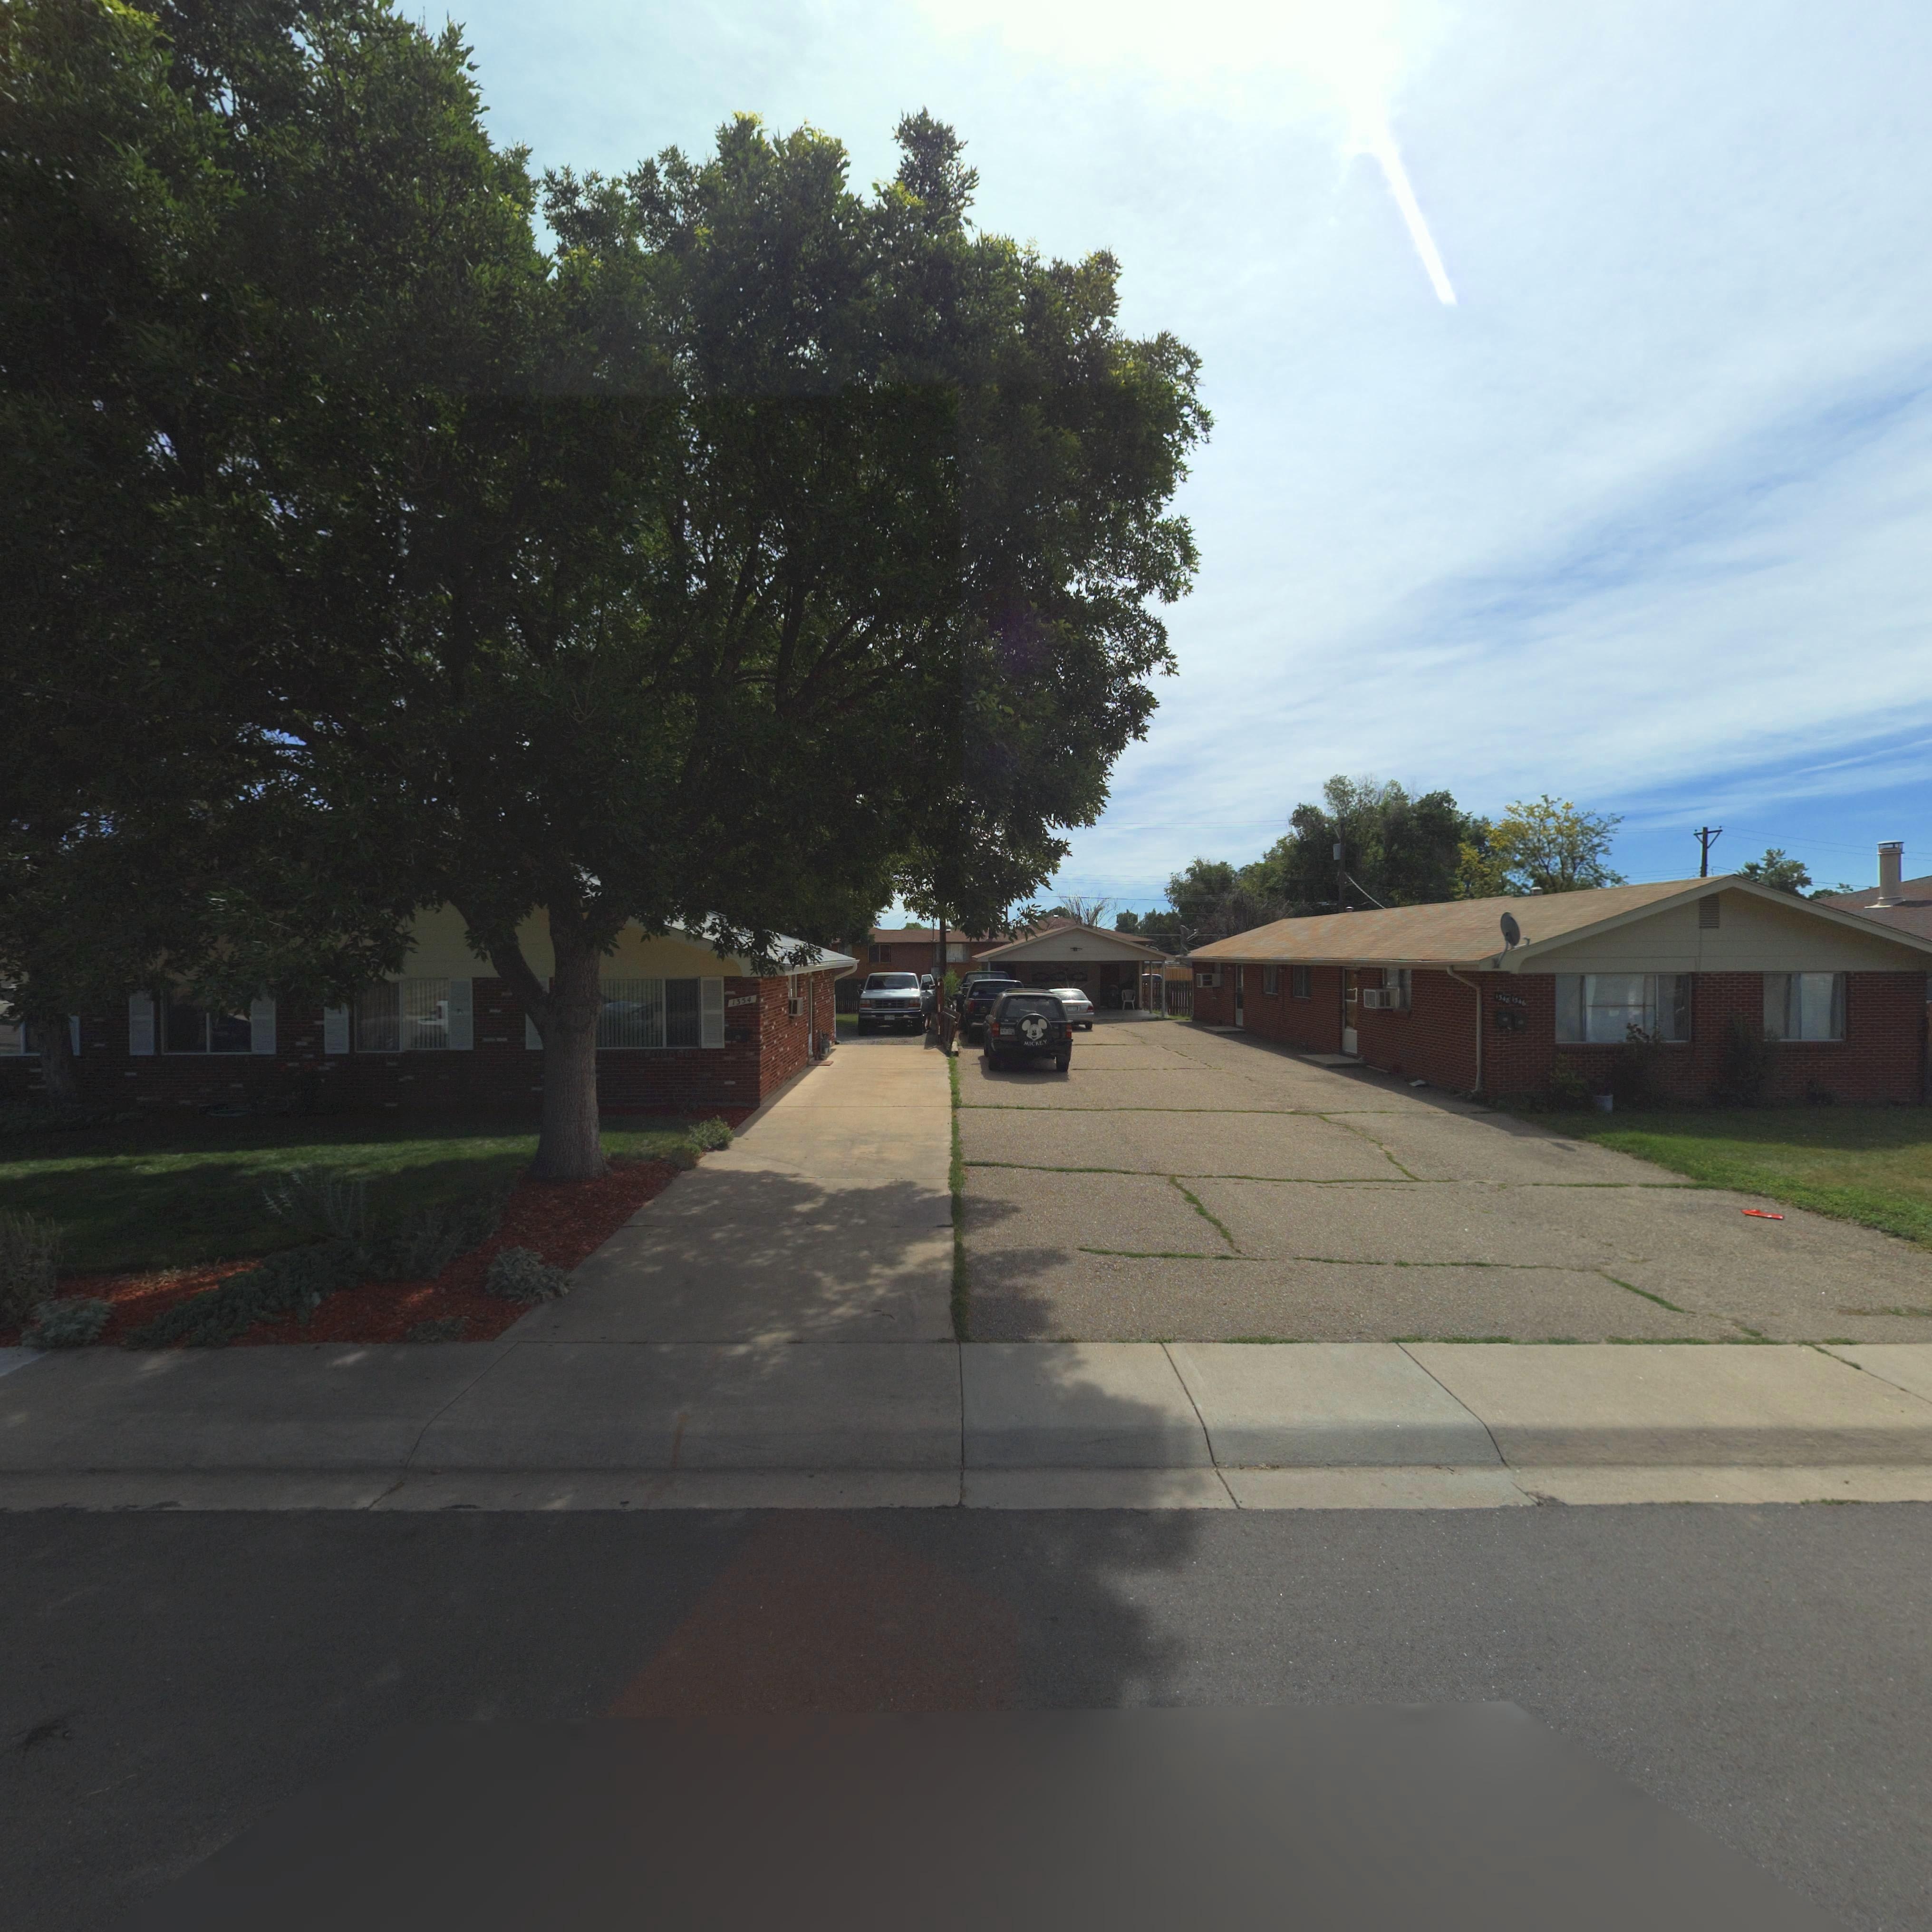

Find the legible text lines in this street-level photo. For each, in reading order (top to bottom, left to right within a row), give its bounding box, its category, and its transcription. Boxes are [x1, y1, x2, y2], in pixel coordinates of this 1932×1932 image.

[732, 996, 751, 1005] StreetNumber: 1354
[1494, 992, 1510, 1004] StreetNumber: 1348
[1511, 995, 1526, 1007] StreetNumber: 1346